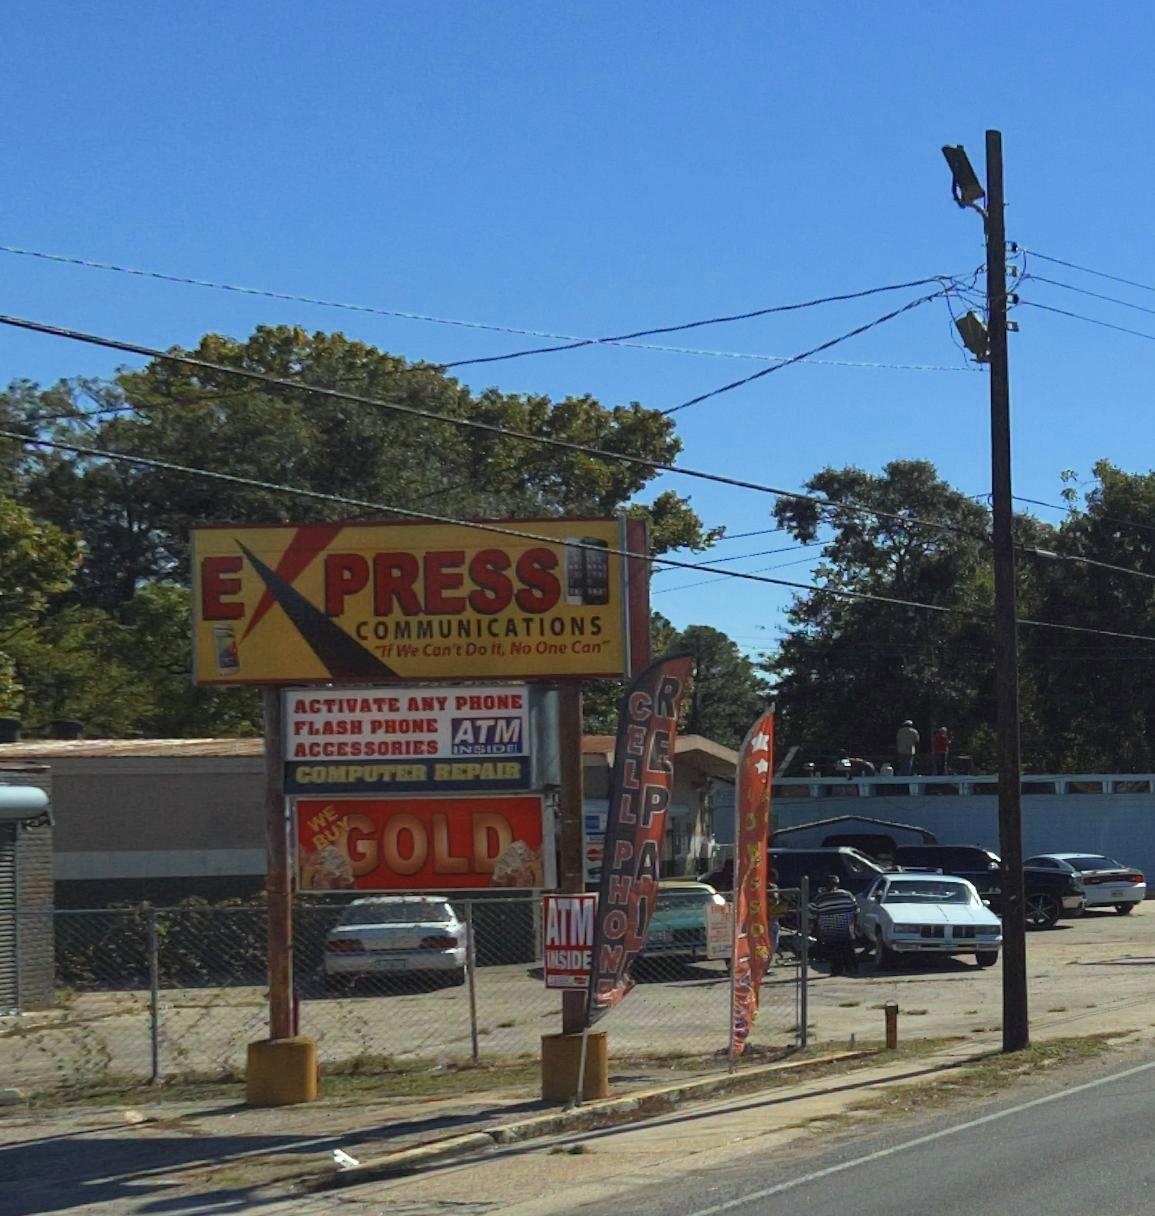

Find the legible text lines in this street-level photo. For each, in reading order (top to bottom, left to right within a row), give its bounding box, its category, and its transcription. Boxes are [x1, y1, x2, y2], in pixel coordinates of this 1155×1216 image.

[197, 544, 566, 625] BusinessName: E*PRESS
[350, 612, 606, 643] BusinessName: COMMUNICATIONS
[377, 636, 607, 660] None: If We Can't Do It, No One Can
[290, 691, 525, 717] None: ACTIVATE ANY PHONE
[291, 715, 442, 738] None: FLASH PHONE
[449, 716, 523, 747] None: ATM
[290, 737, 441, 761] None: ACCESSORIES
[450, 742, 521, 756] None: INSIDE
[293, 759, 527, 787] None: COMPUTER REPAIR
[303, 801, 343, 836] None: WE
[308, 812, 353, 854] None: BUY
[330, 807, 517, 879] None: GOLD
[593, 686, 659, 1015] None: CELL PHONE
[629, 670, 688, 946] None: REPAI
[541, 895, 597, 949] None: ATM
[744, 869, 772, 965] None: SSOR
[544, 947, 594, 973] None: INSIDE